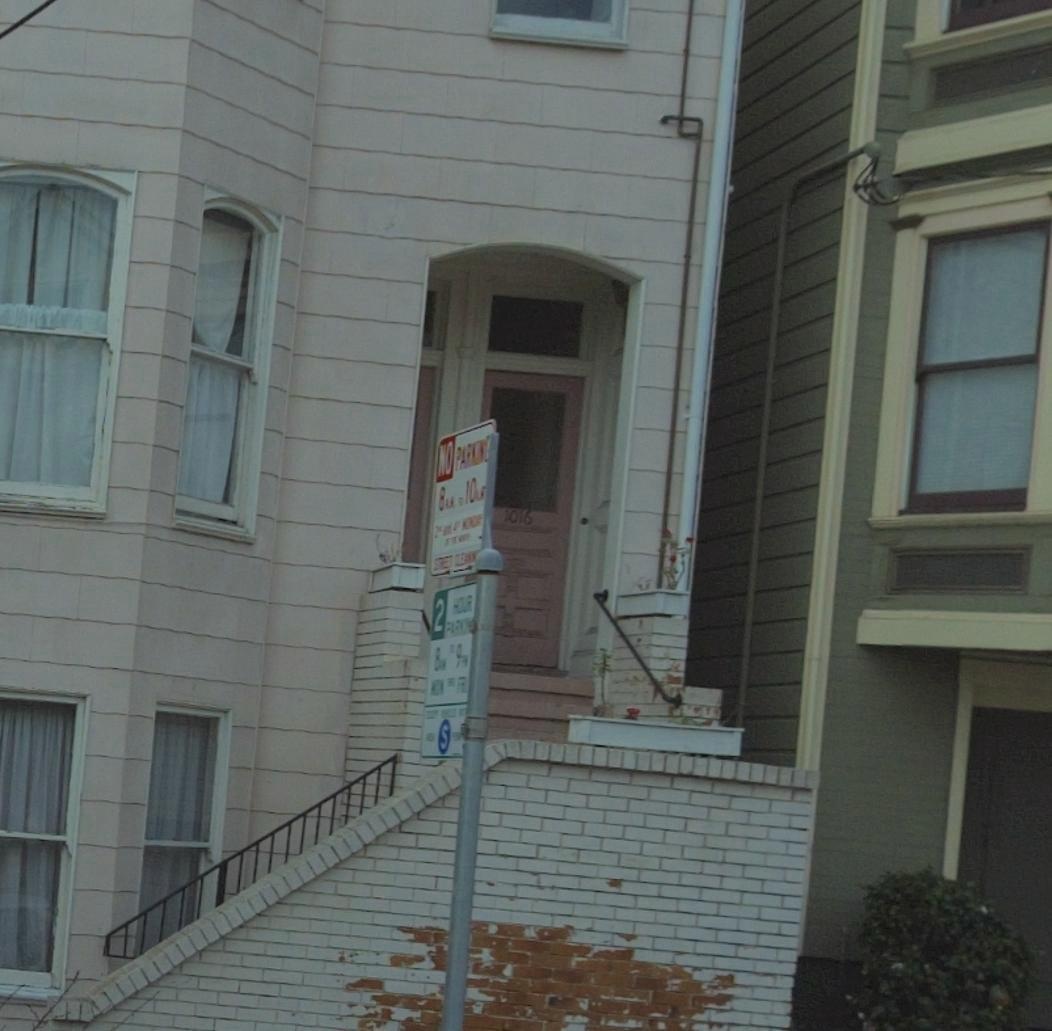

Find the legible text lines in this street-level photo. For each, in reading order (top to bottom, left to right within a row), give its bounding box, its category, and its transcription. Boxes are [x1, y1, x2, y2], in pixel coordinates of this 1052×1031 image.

[438, 438, 454, 478] None: NO
[454, 434, 491, 473] None: PARKING
[436, 485, 445, 512] None: 8
[445, 495, 456, 512] None: A.M.
[464, 475, 476, 504] None: 10
[503, 507, 533, 526] StreetNumber: 1016
[432, 547, 481, 572] None: STREET CLEAN***
[432, 598, 445, 633] None: 2
[451, 593, 473, 616] None: HOUR
[432, 645, 440, 672] None: 8
[446, 642, 454, 650] None: TO
[454, 640, 463, 669] None: 9
[428, 679, 444, 697] None: MON
[445, 675, 455, 686] None: THRU
[456, 674, 470, 694] None: FRI
[439, 724, 450, 750] None: S